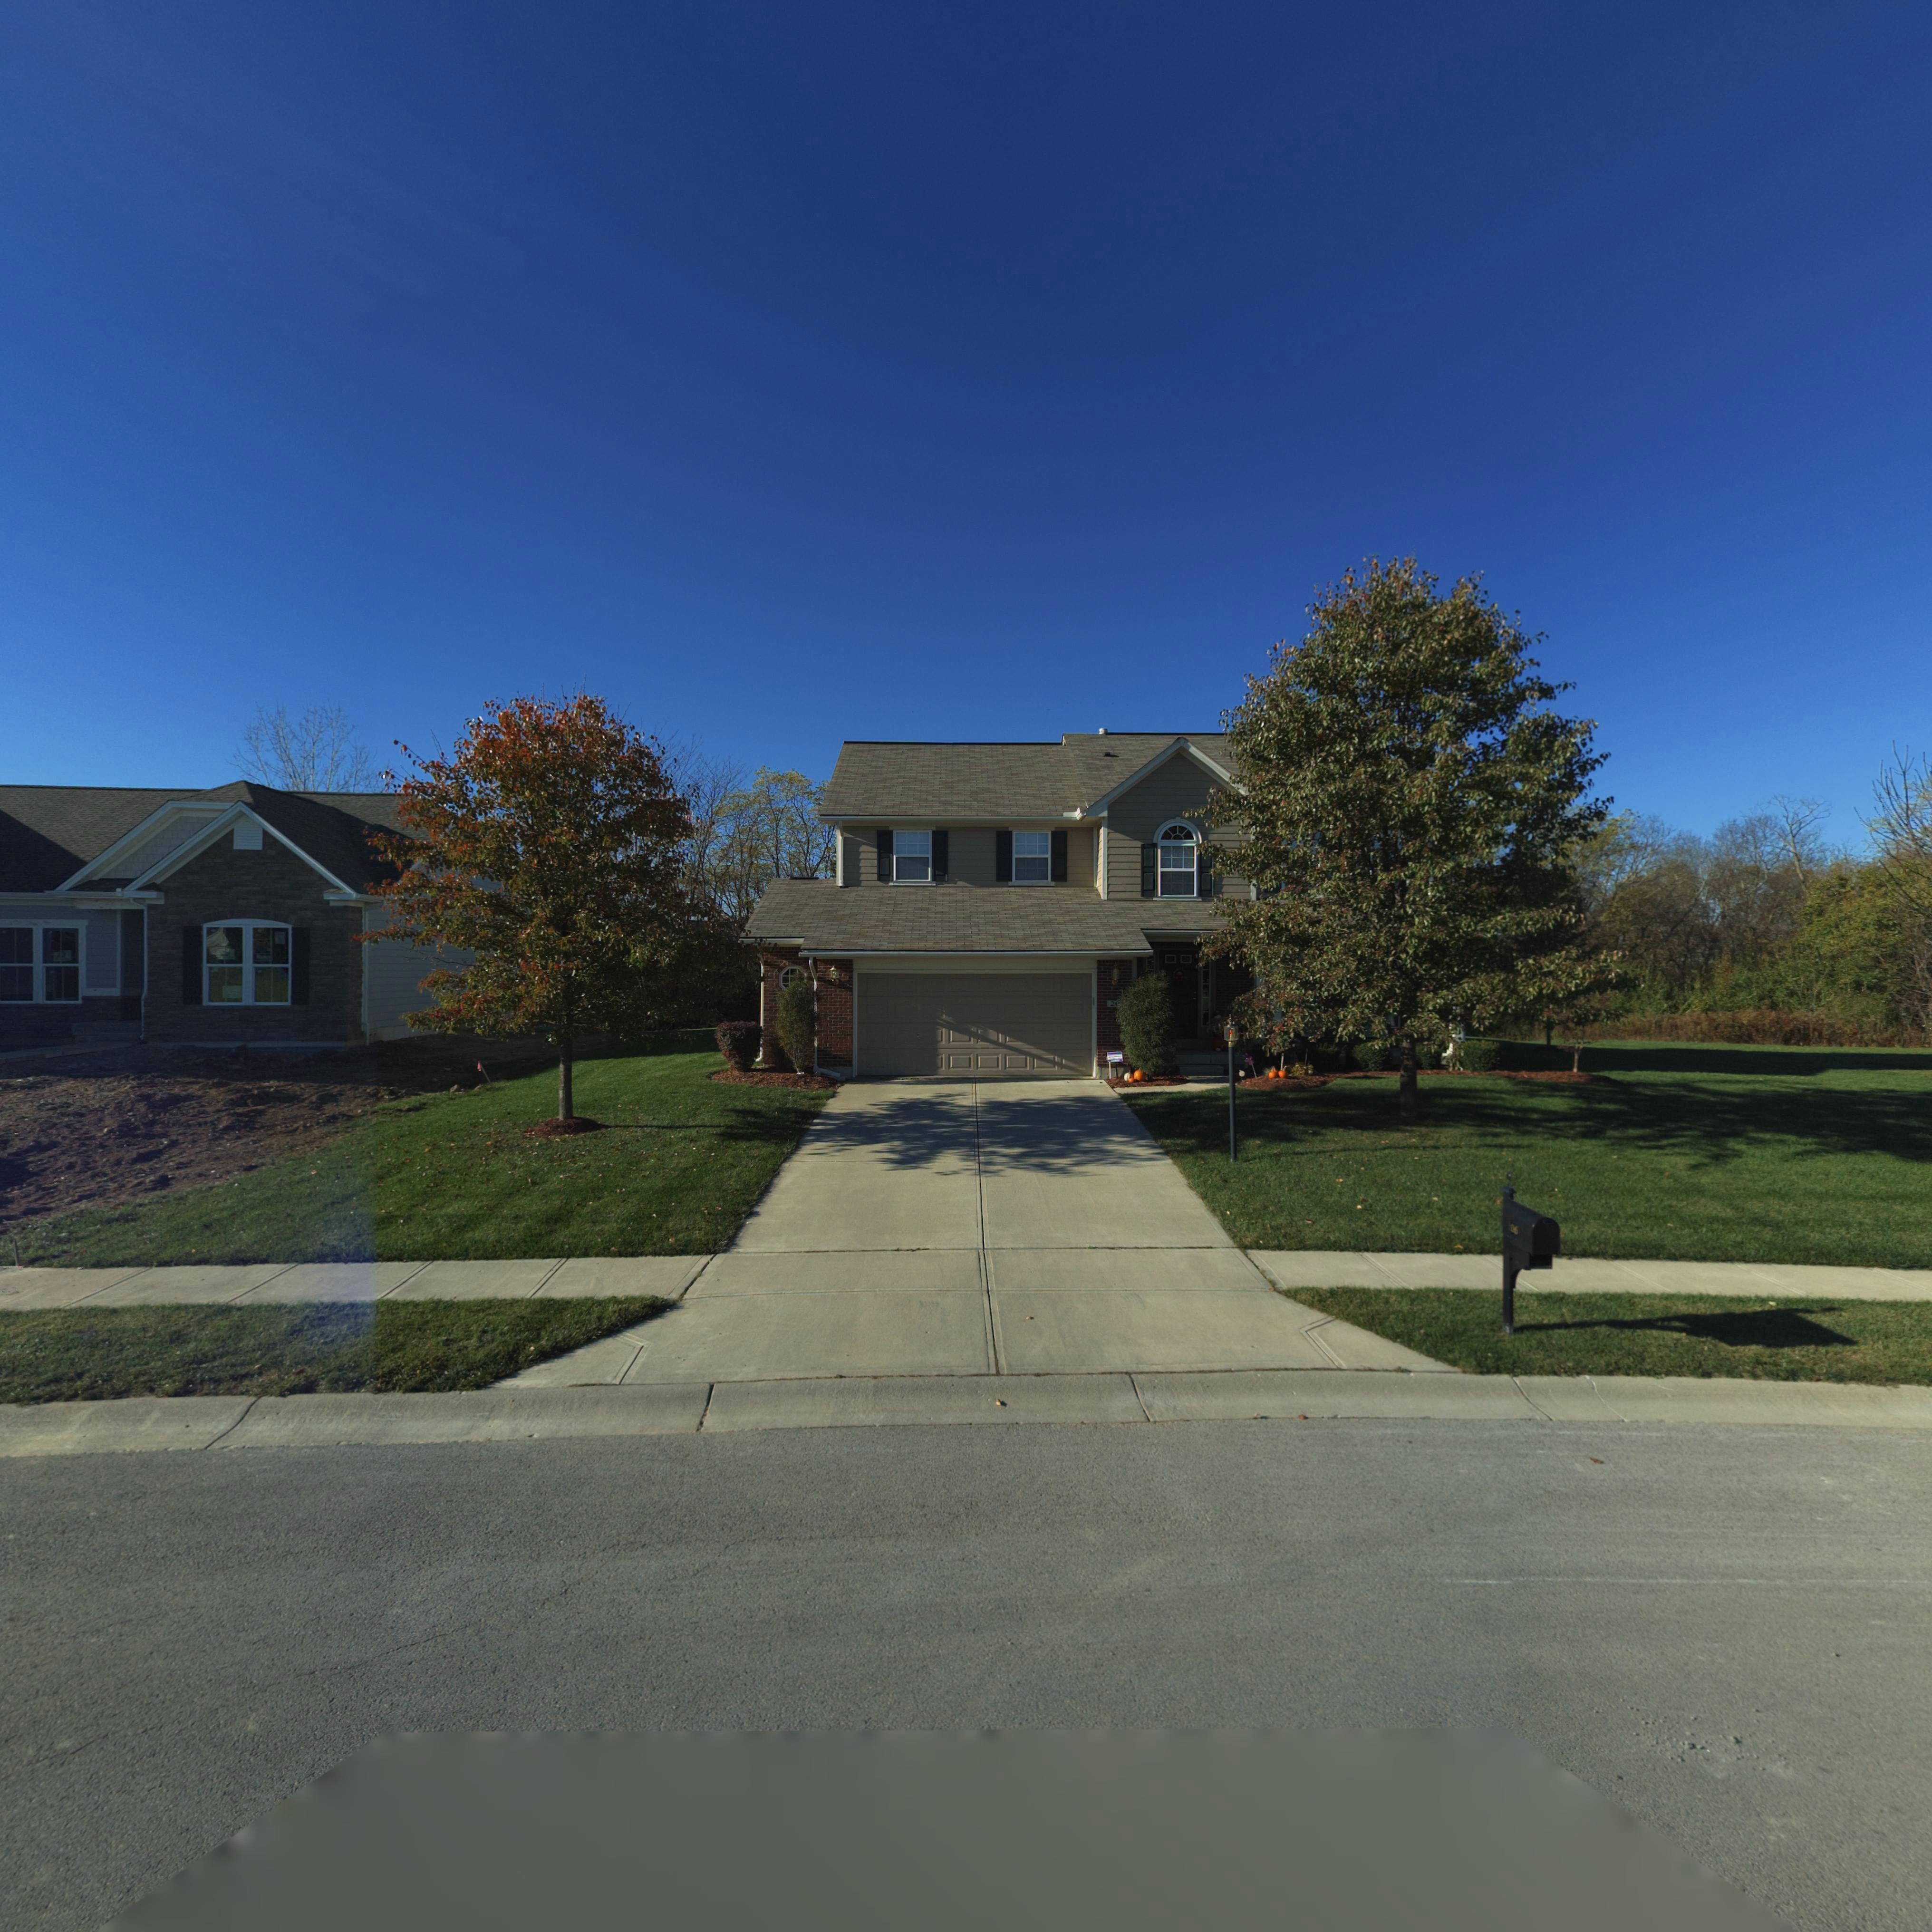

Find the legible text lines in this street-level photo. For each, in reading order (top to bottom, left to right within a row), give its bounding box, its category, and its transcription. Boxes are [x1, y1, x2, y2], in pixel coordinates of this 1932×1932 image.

[1110, 1000, 1115, 1007] StreetNumber: 2
[1512, 1225, 1519, 1236] StreetNumber: 6